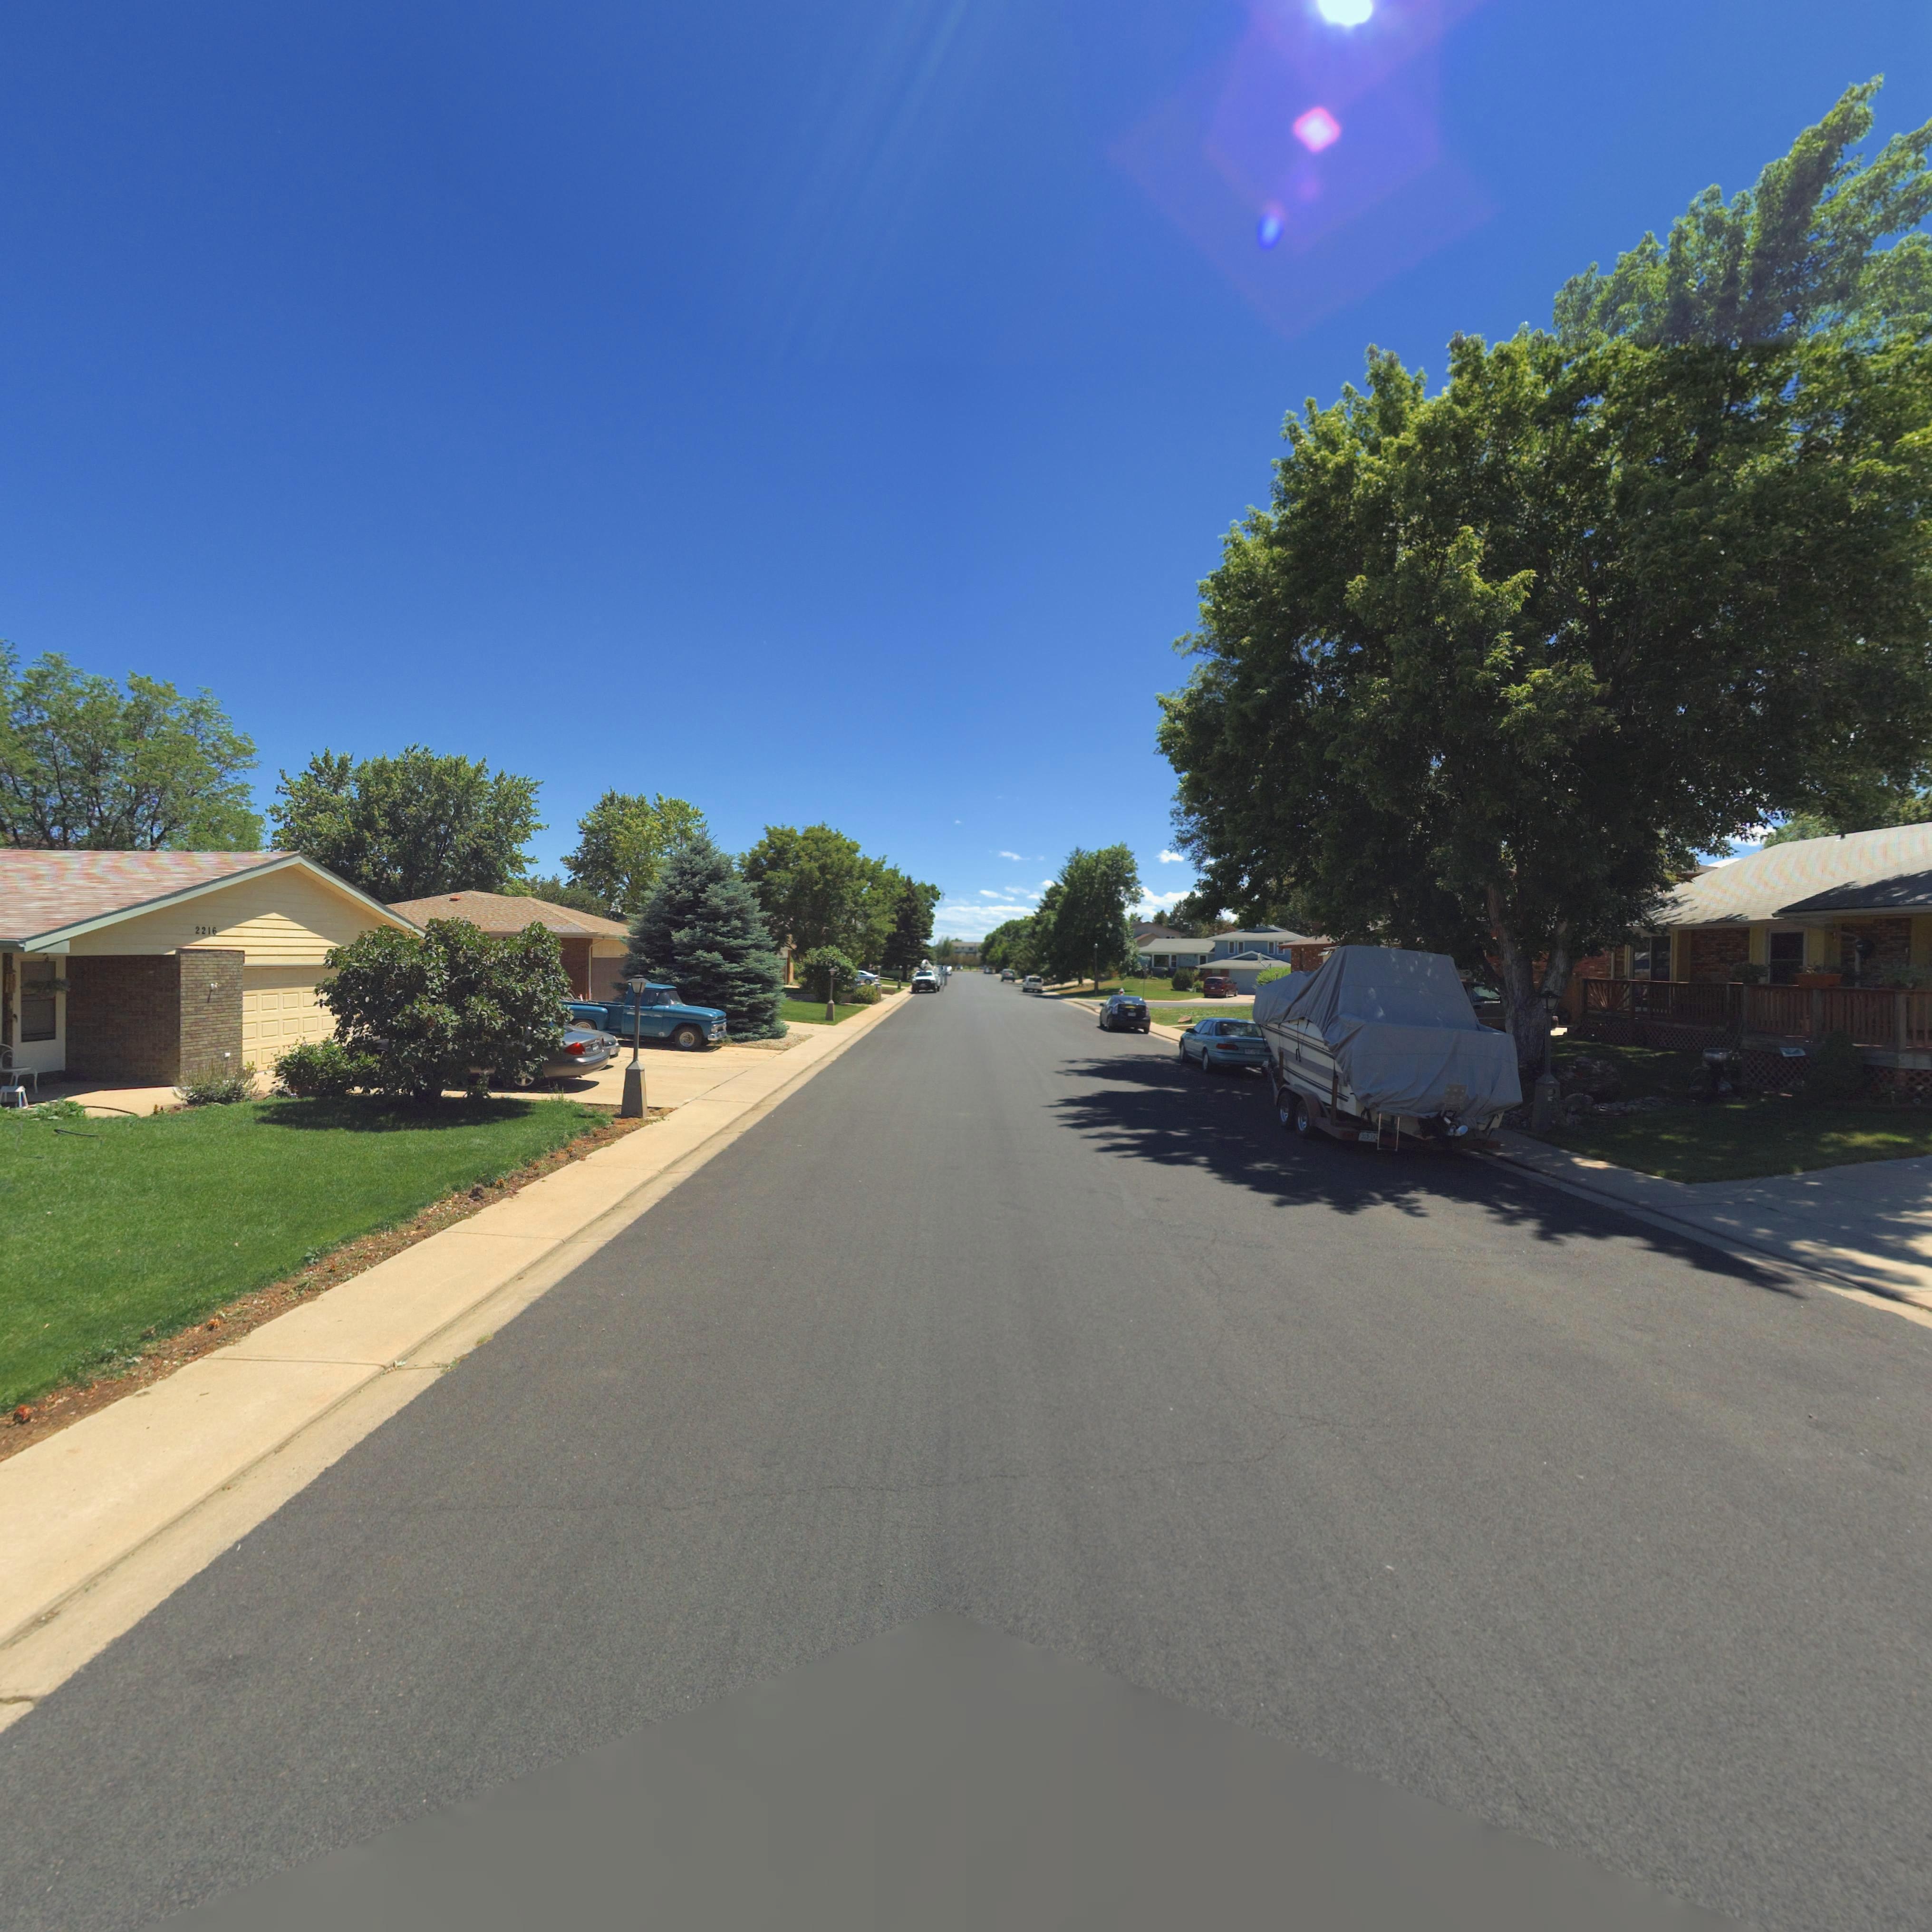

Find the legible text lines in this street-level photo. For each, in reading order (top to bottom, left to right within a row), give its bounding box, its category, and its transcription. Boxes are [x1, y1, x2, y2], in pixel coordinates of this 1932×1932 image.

[195, 926, 217, 935] StreetNumber: 2216